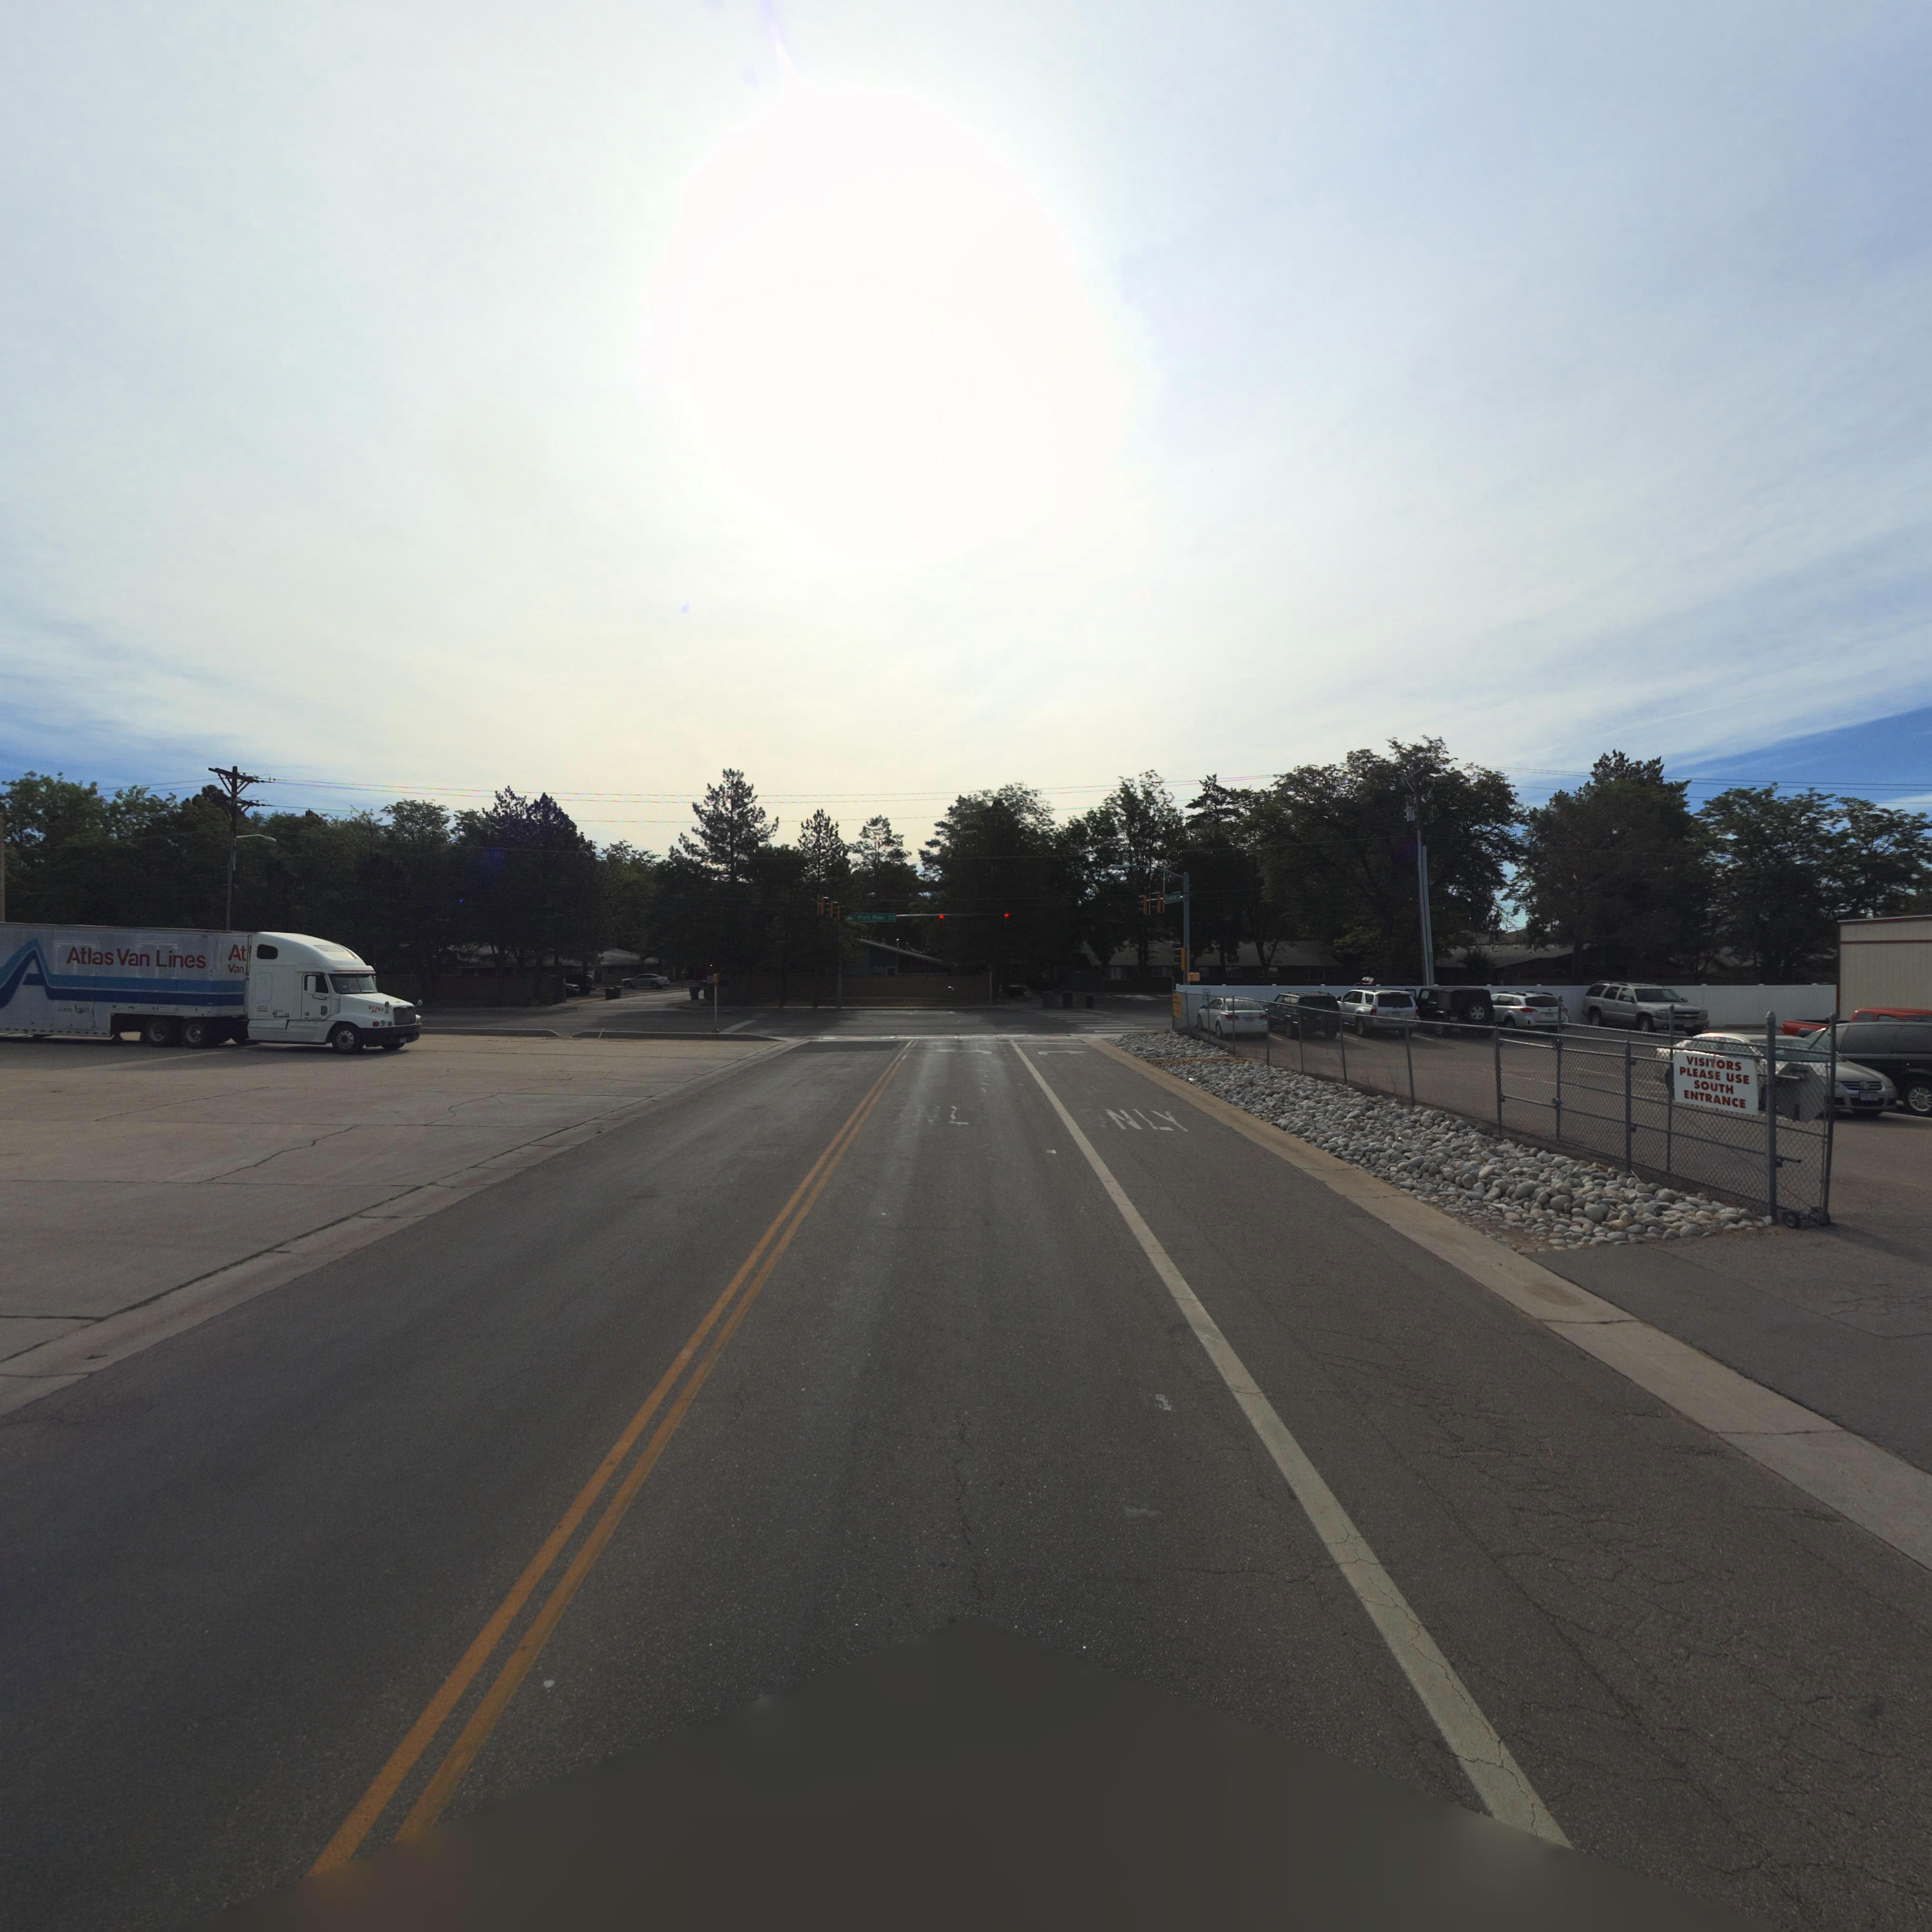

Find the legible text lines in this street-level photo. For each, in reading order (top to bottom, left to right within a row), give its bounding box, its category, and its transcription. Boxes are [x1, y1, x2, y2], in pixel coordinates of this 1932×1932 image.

[857, 915, 884, 921] StreetName: Pr*** Pkwy